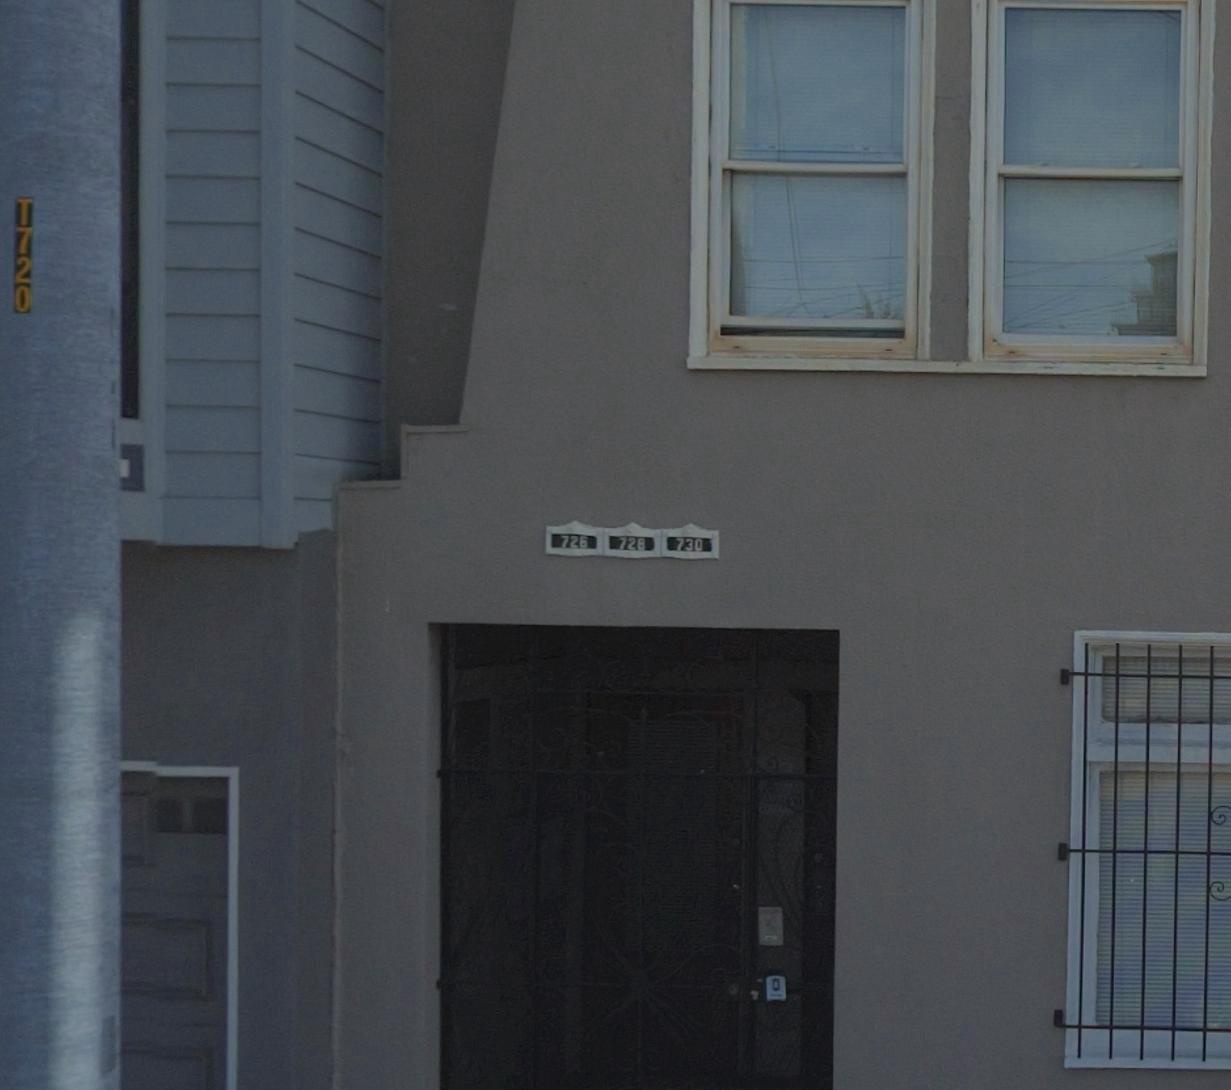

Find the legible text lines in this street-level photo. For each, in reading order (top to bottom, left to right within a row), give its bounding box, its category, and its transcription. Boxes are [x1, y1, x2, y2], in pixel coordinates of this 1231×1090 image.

[13, 196, 35, 316] None: T720
[557, 533, 591, 550] StreetNumber: 726
[616, 535, 647, 552] StreetNumber: 728
[674, 535, 705, 554] StreetNumber: 730